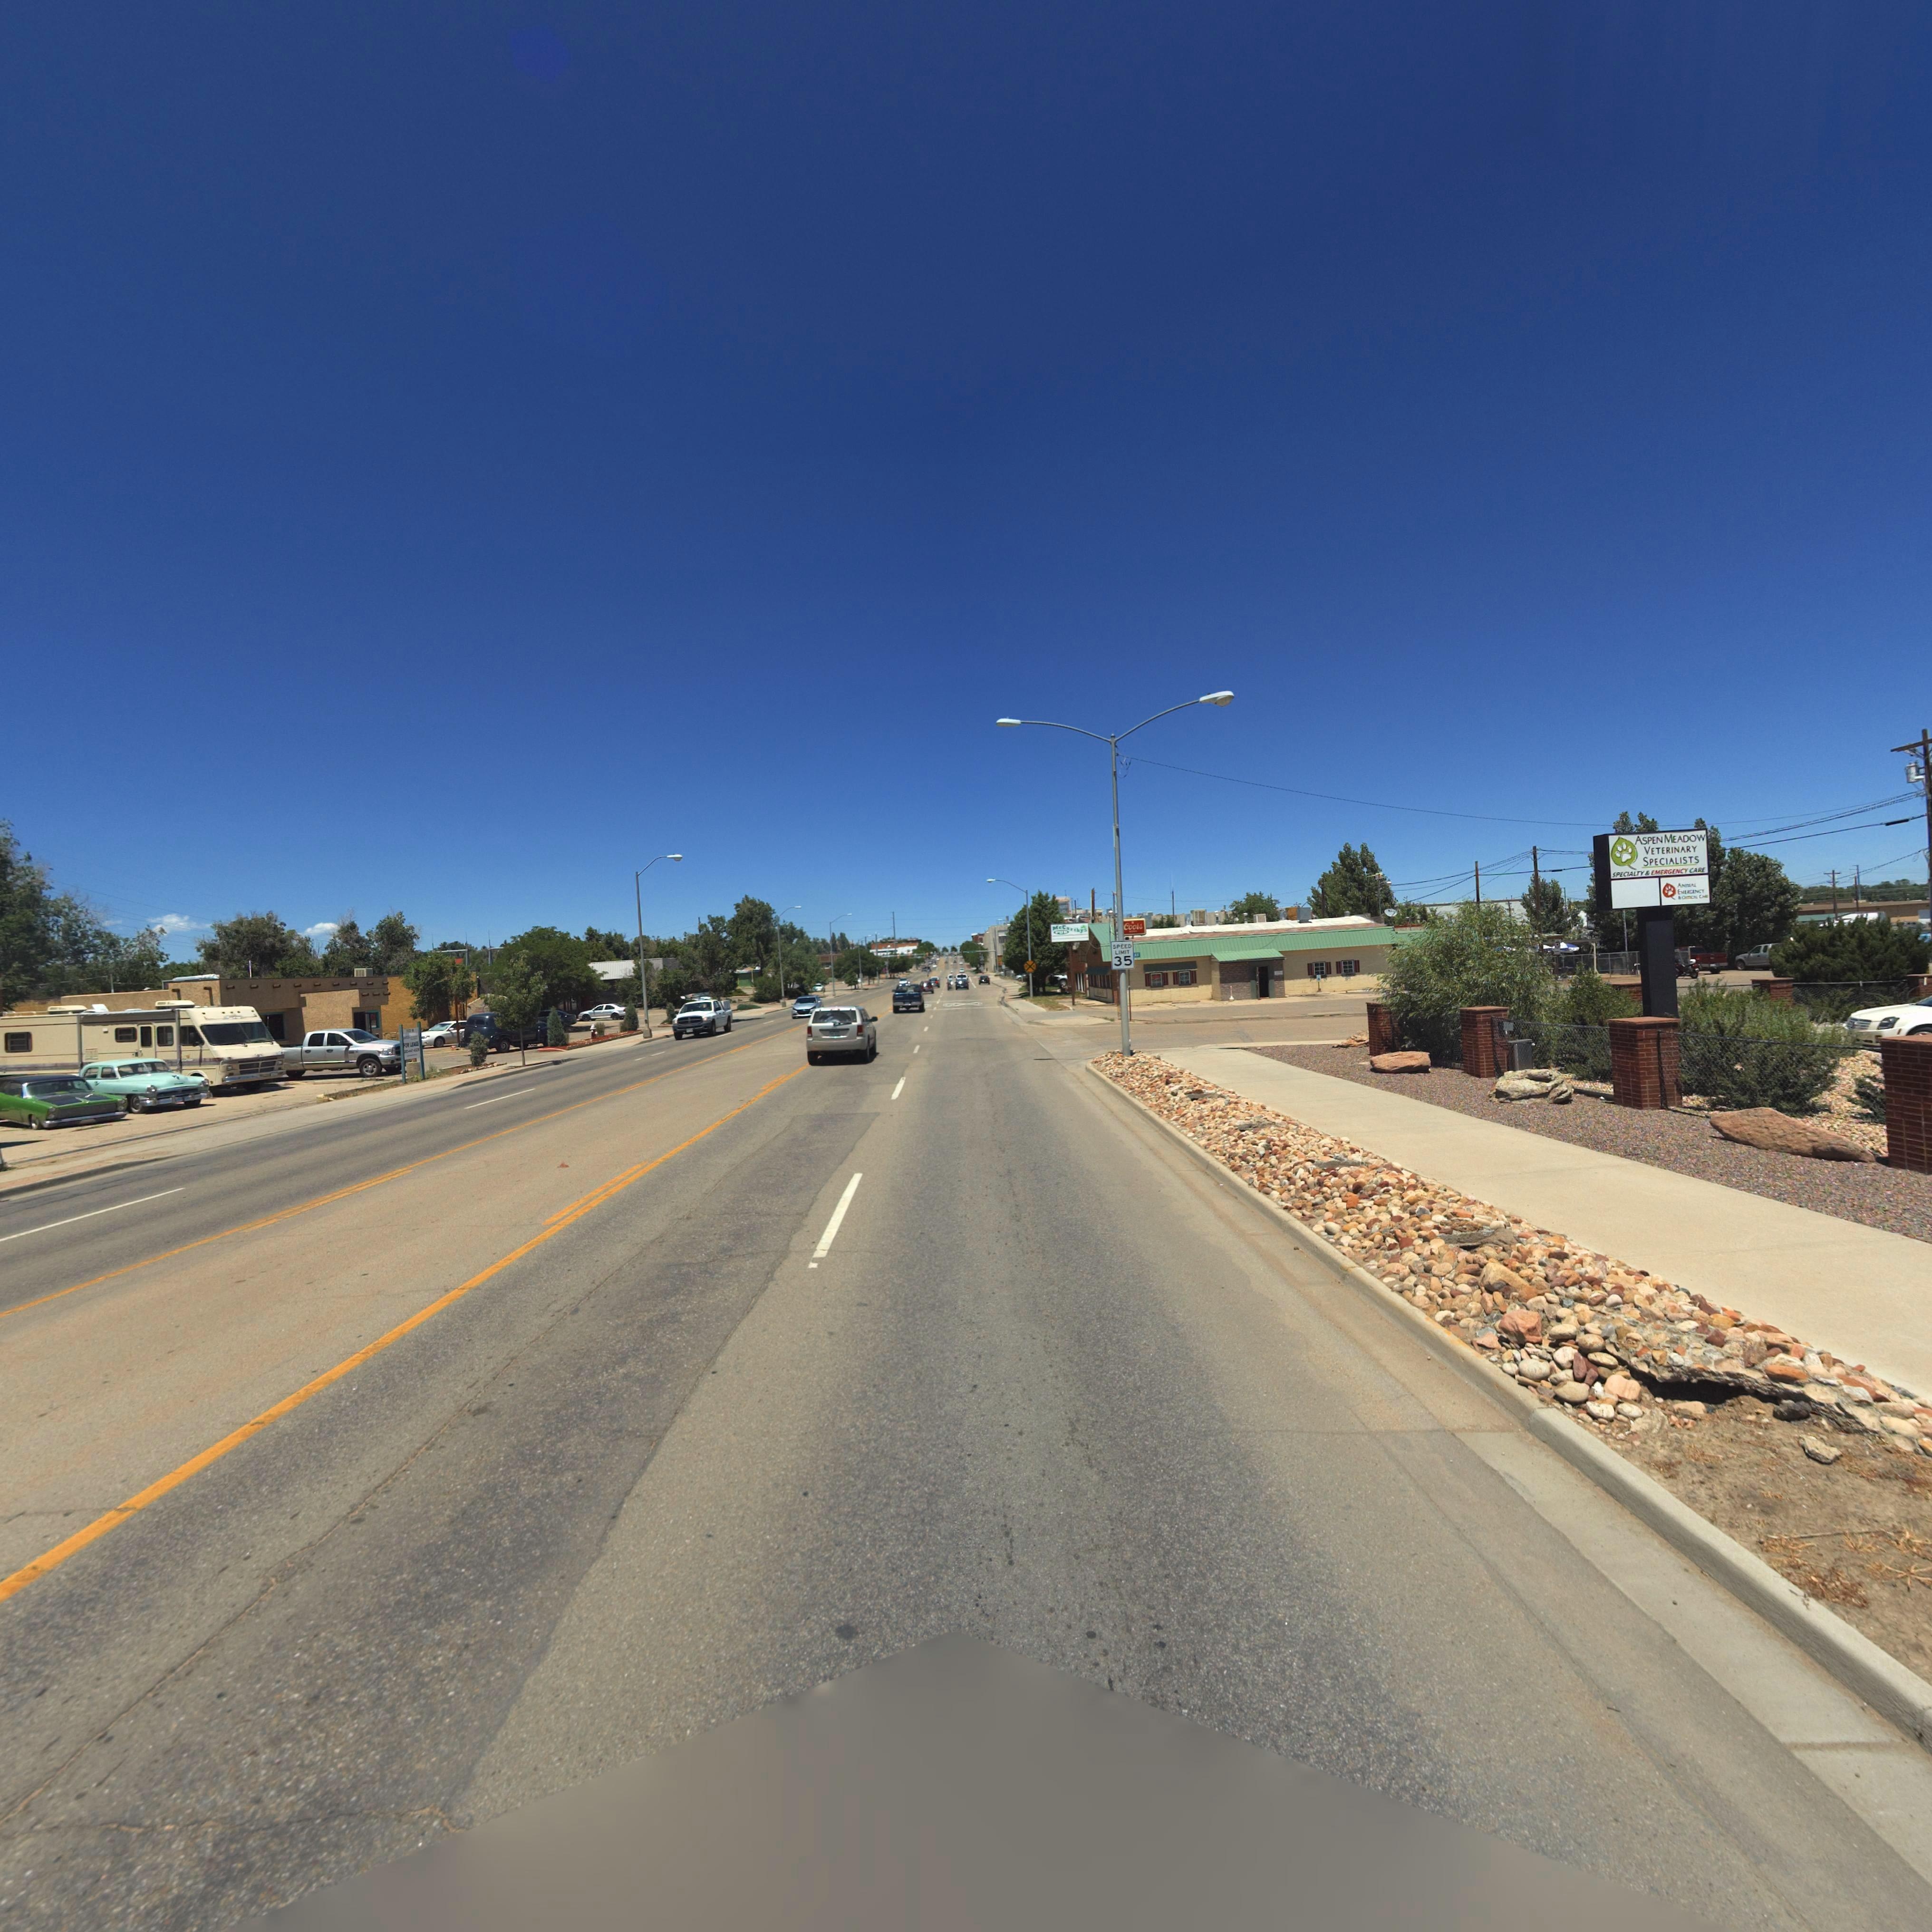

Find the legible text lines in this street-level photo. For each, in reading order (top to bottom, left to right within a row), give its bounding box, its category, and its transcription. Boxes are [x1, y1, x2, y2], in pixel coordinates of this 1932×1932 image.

[1633, 833, 1706, 845] BusinessName: ASPEN MEADOW
[1642, 845, 1698, 855] BusinessName: VETERINARY
[1642, 855, 1700, 866] BusinessName: SPECIALISTS
[1055, 930, 1068, 934] BusinessName: *U*
[1052, 925, 1087, 934] BusinessName: McCar*hys
[1133, 952, 1139, 957] StreetName: A*